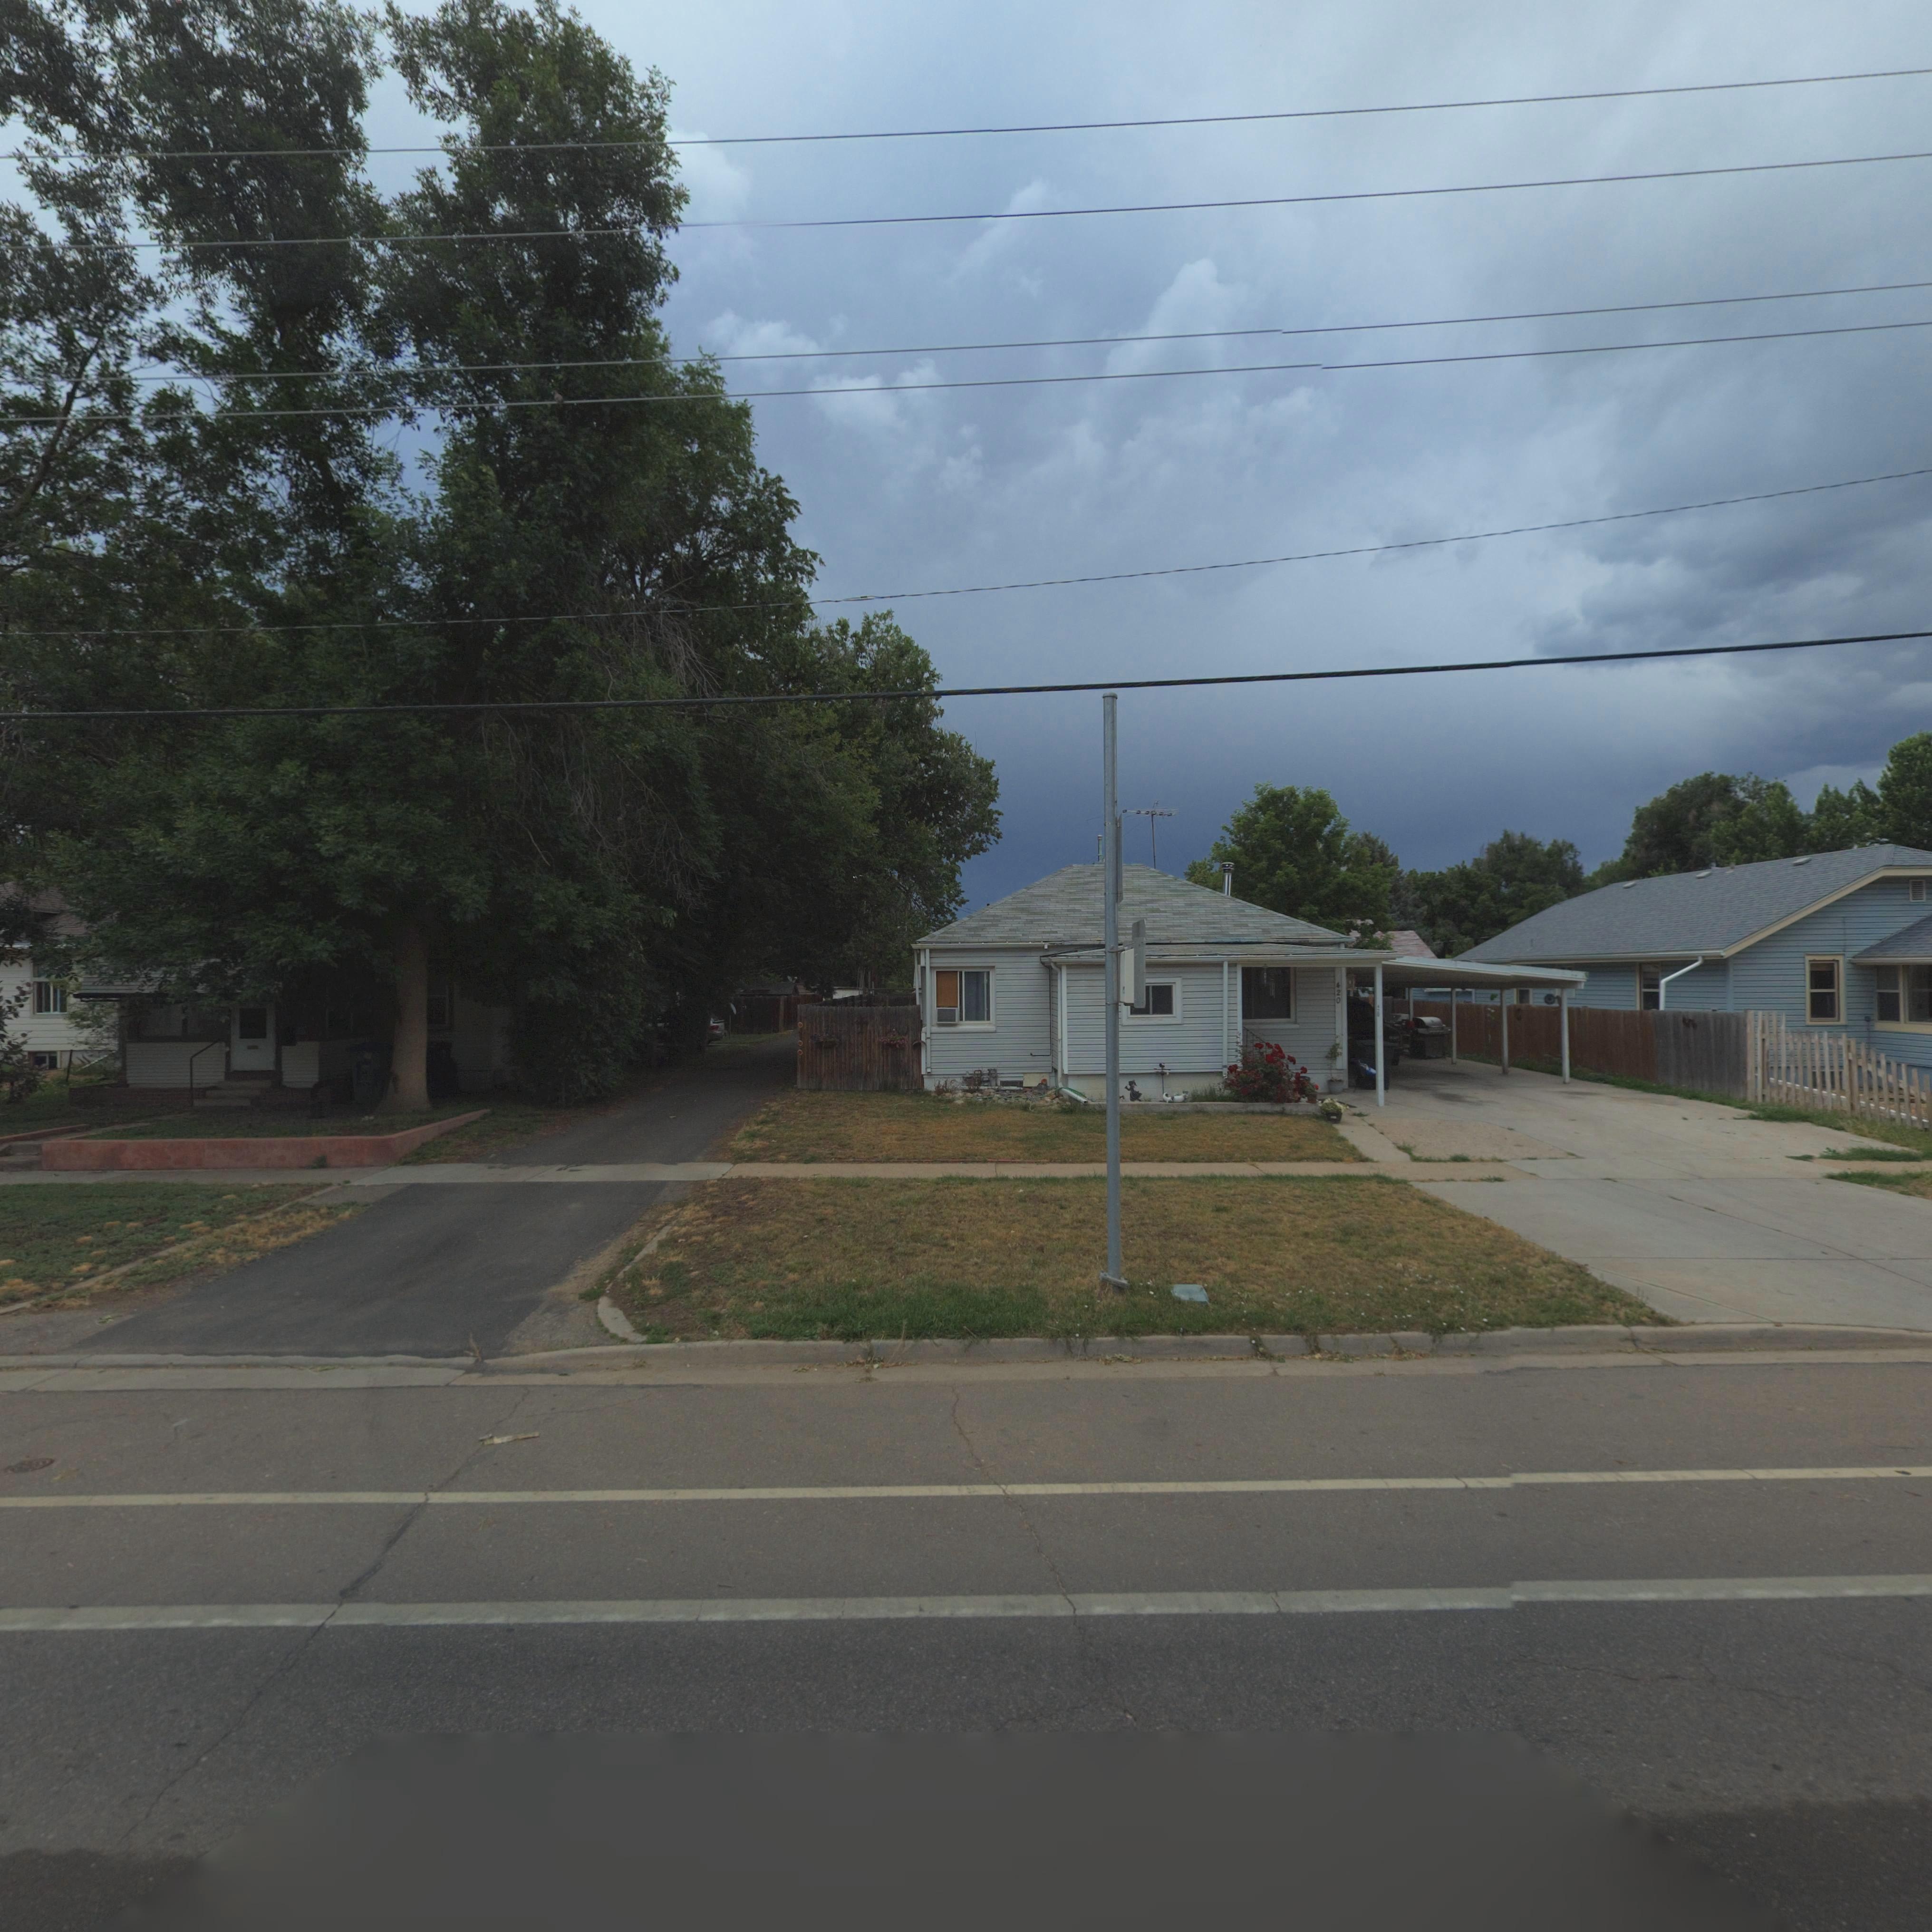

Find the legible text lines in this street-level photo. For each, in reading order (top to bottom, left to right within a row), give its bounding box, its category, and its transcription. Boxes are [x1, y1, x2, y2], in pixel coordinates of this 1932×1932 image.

[1336, 981, 1341, 1004] StreetNumber: 420